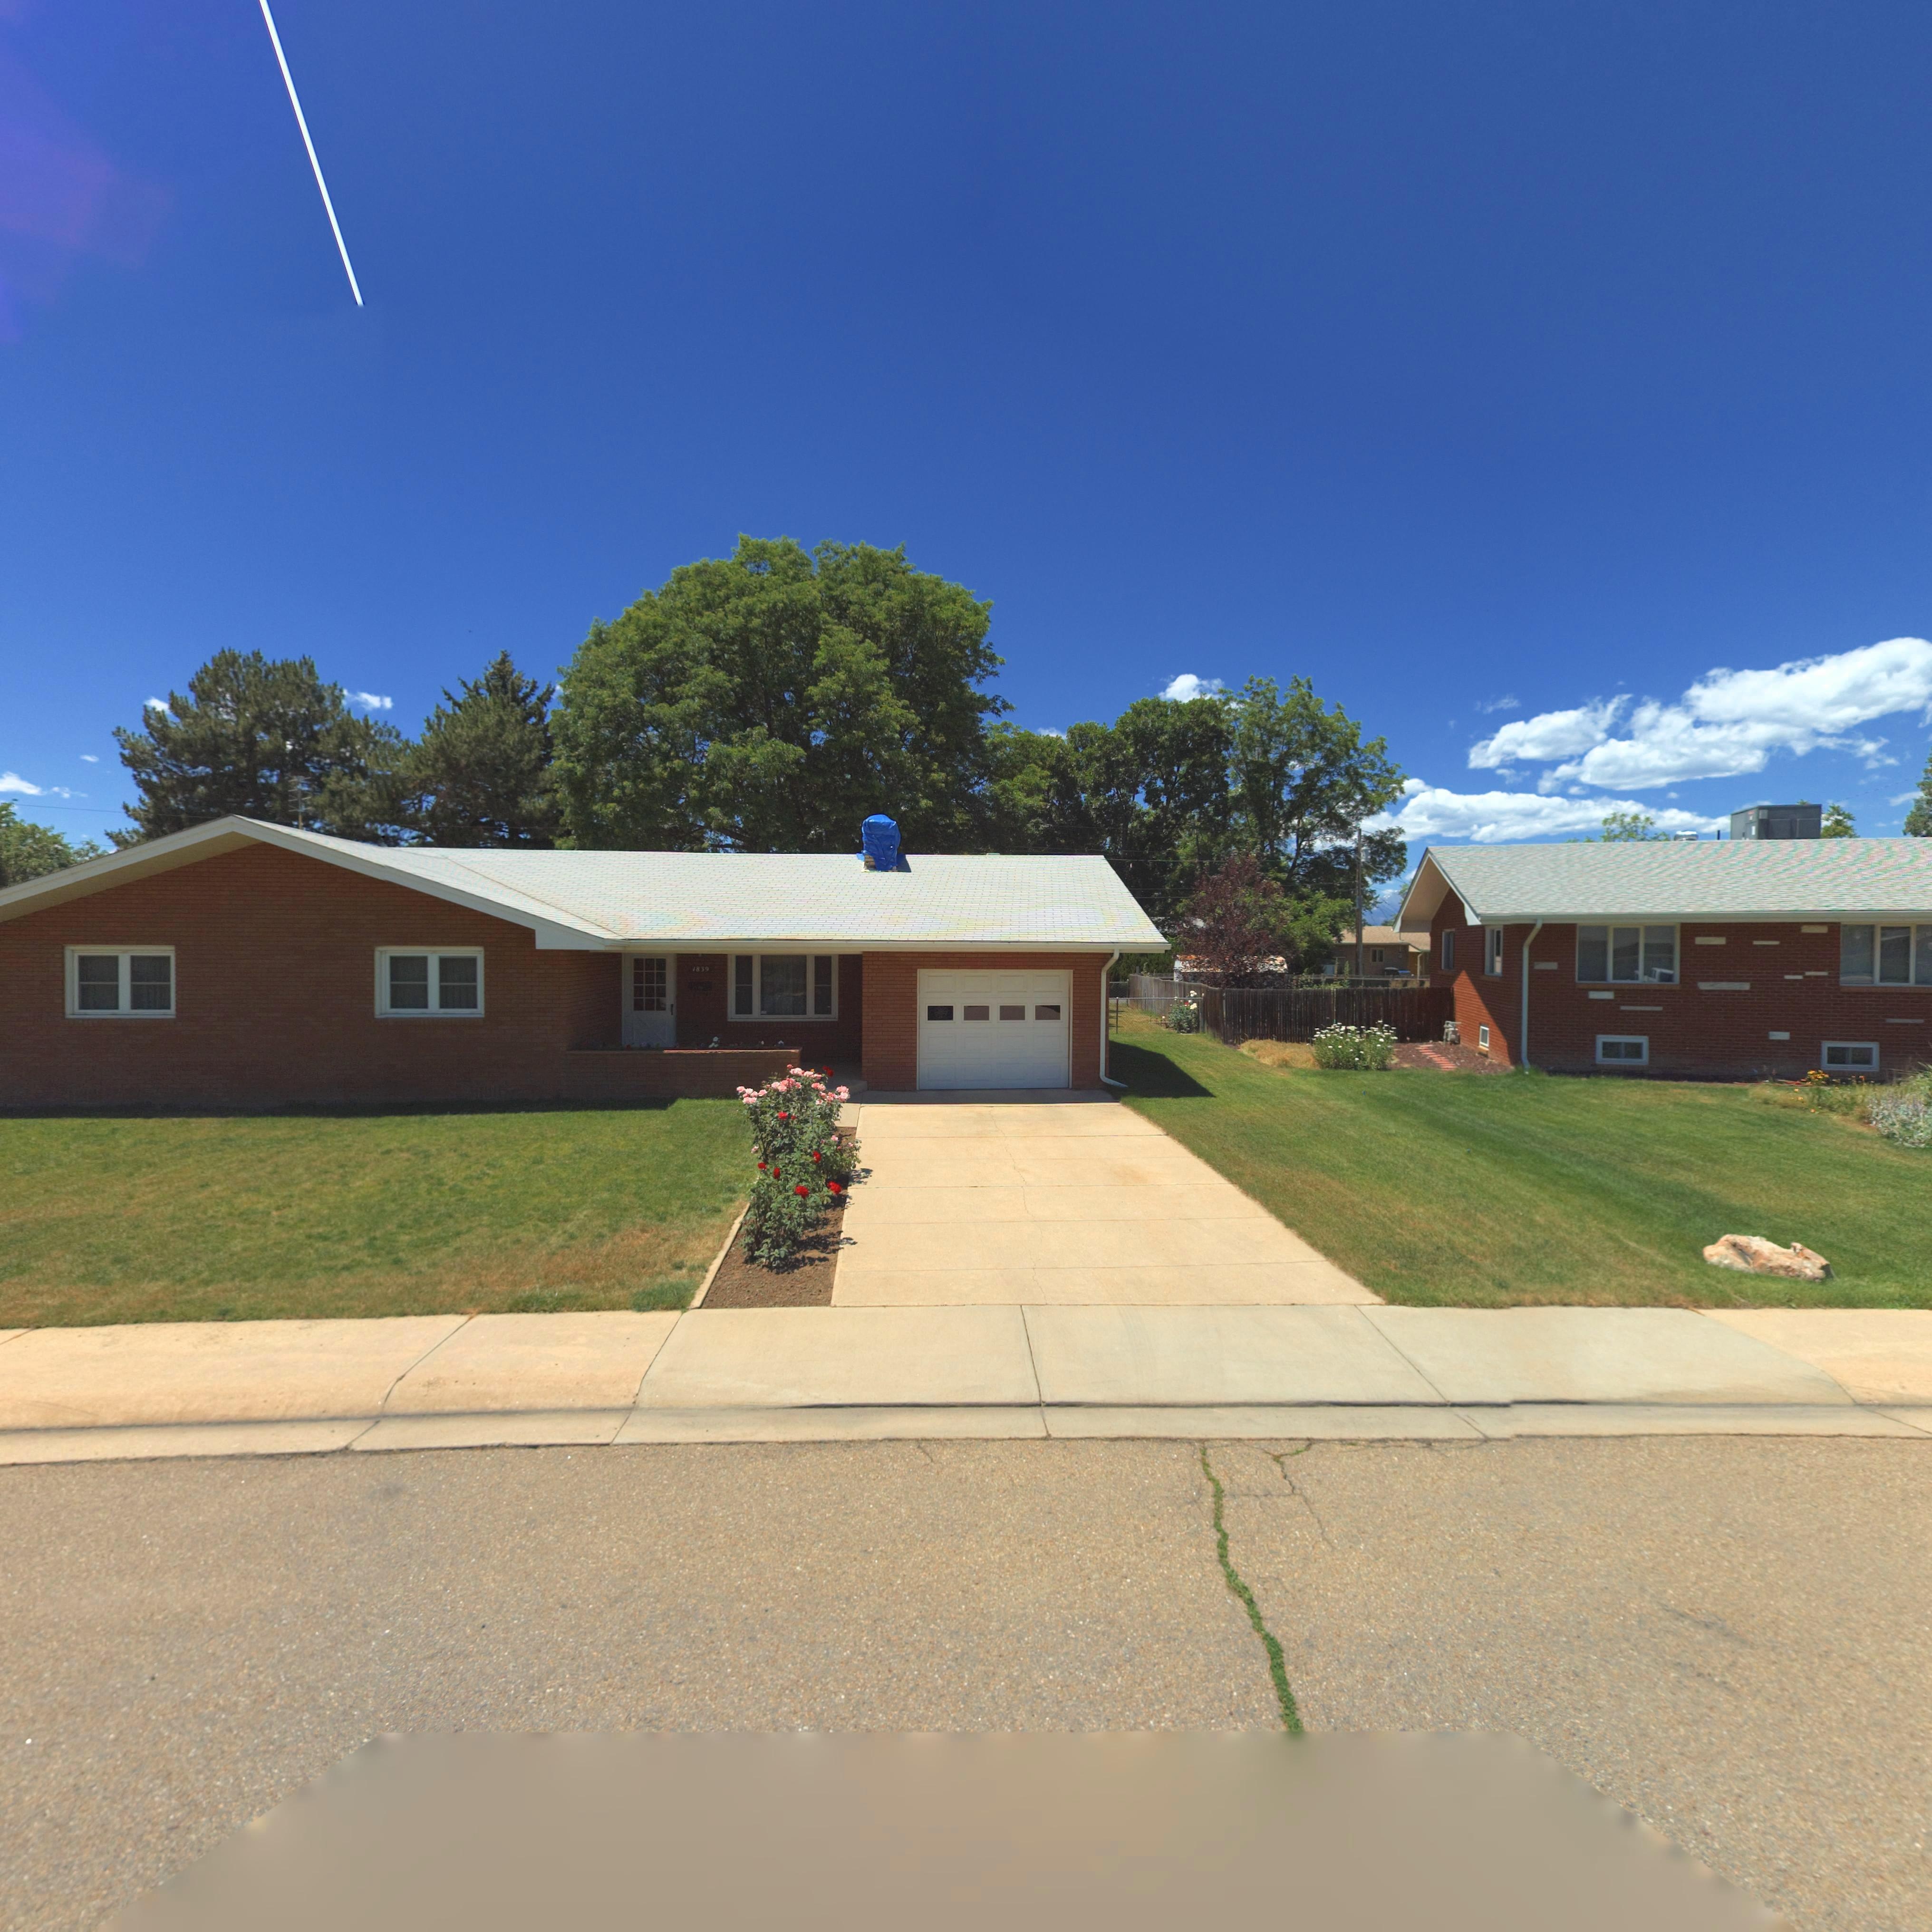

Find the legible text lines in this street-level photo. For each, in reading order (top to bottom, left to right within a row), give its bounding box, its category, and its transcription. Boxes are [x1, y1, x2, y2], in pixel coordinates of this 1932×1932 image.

[691, 966, 709, 972] StreetNumber: 1839